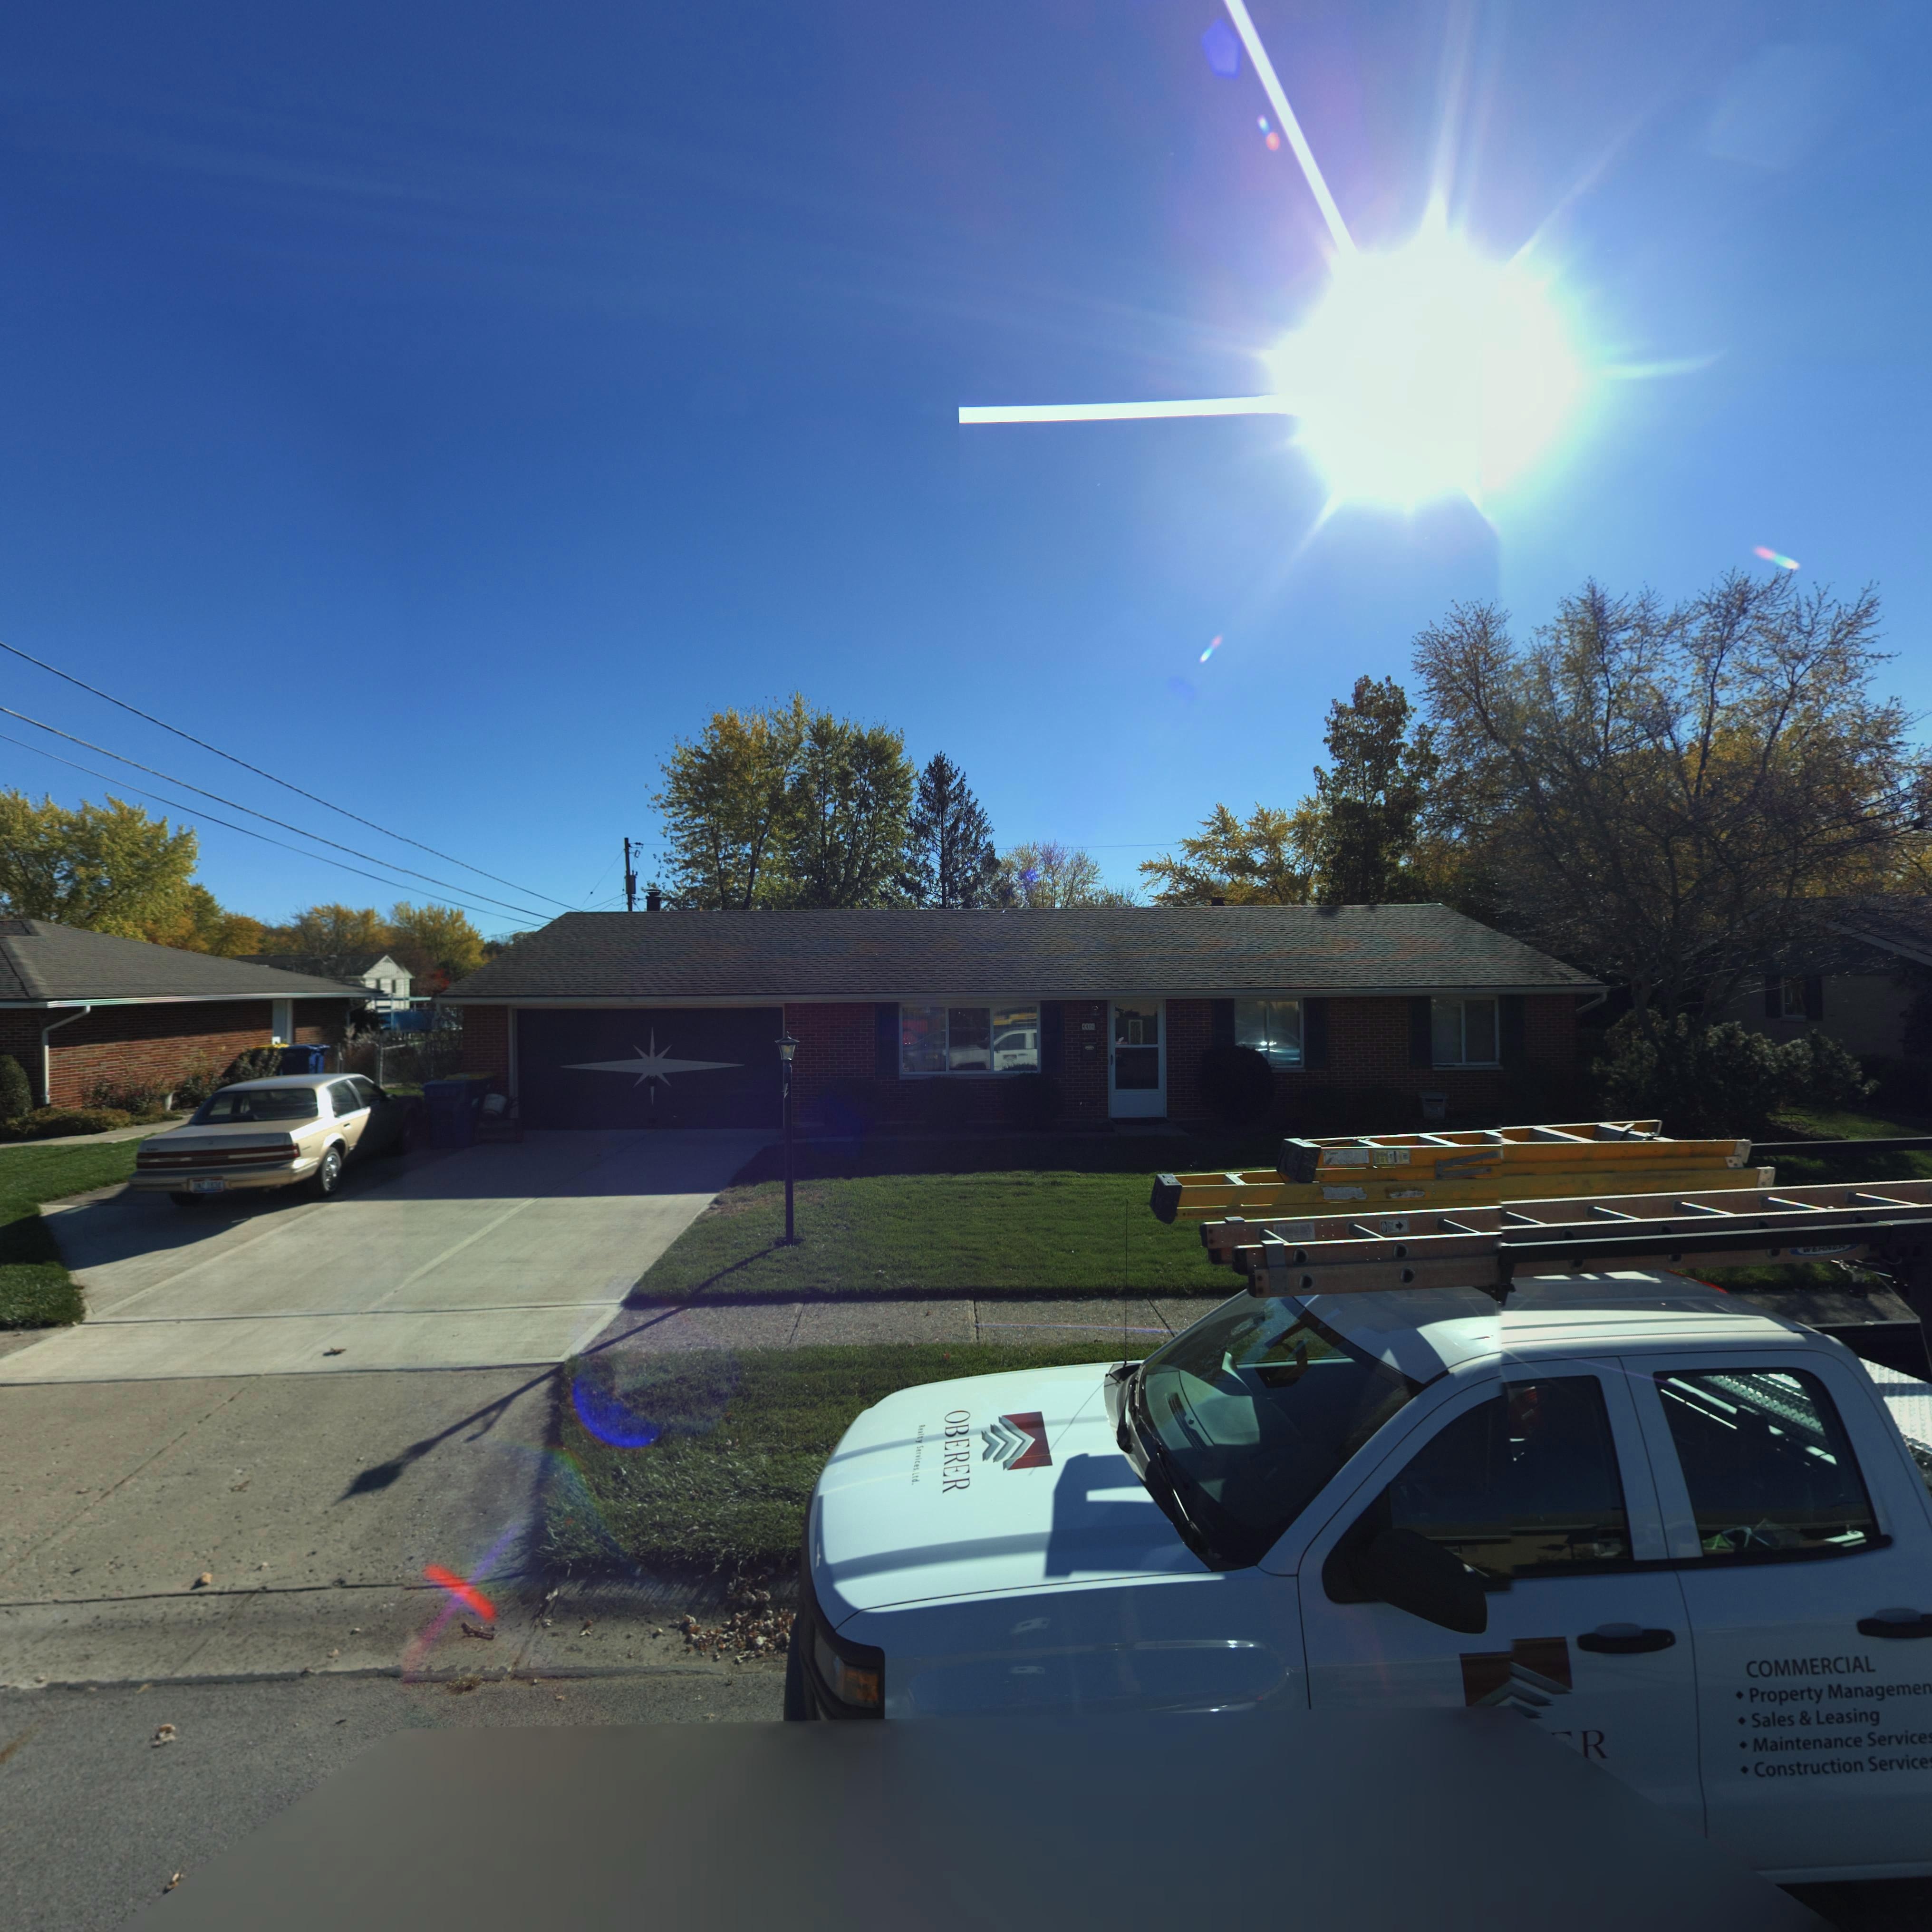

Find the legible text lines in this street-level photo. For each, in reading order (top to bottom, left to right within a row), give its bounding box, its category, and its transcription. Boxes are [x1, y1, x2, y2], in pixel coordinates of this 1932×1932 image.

[1082, 1024, 1095, 1029] StreetNumber: 4406